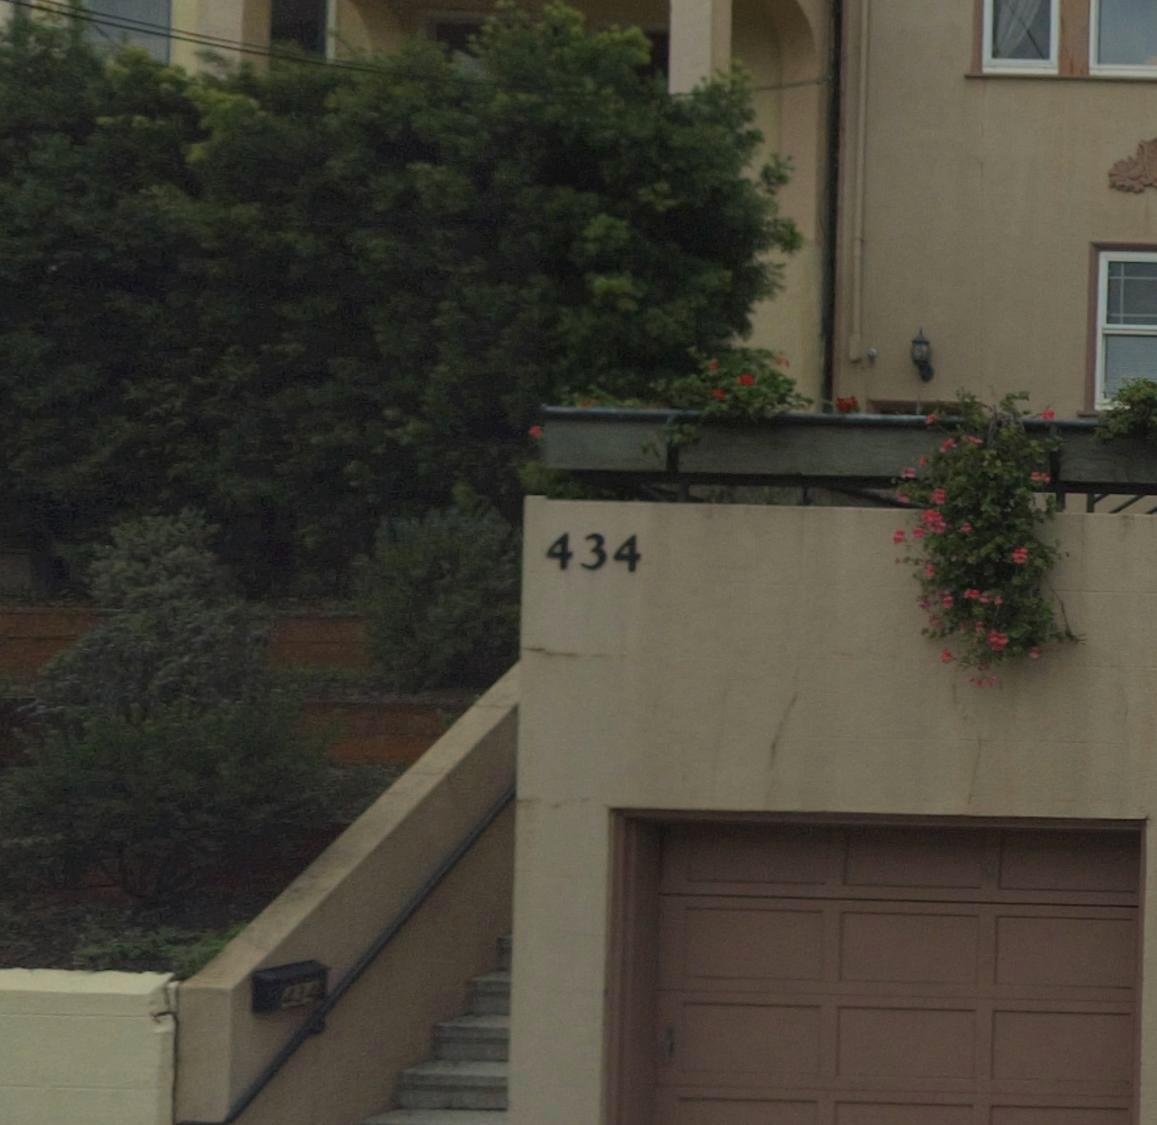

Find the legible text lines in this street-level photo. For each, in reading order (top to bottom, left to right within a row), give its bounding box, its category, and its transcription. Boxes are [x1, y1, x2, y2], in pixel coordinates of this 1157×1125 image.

[543, 529, 644, 575] StreetNumber: 434
[282, 982, 318, 1007] StreetNumber: 434